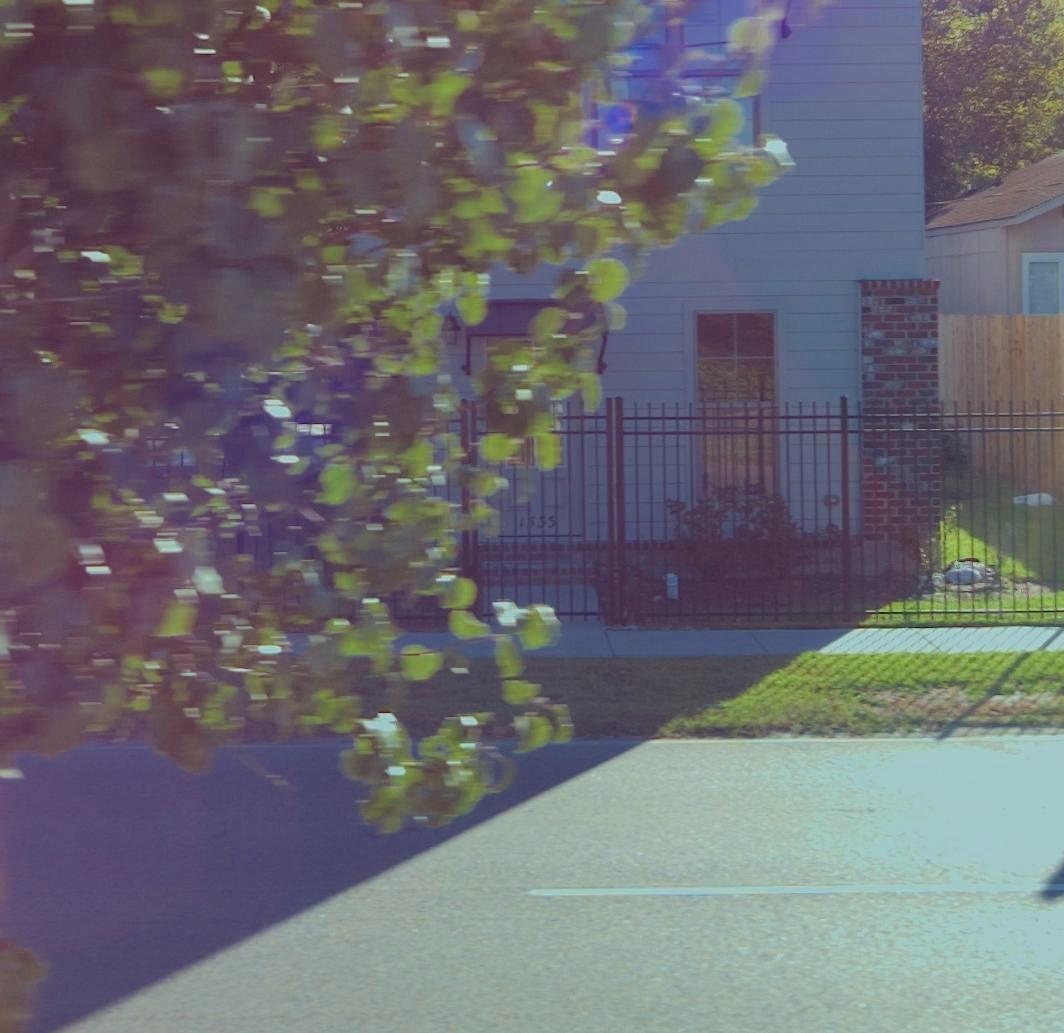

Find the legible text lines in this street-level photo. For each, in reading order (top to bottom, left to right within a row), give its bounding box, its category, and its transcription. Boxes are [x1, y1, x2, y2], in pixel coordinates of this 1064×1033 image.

[516, 514, 558, 530] StreetNumber: 1**5